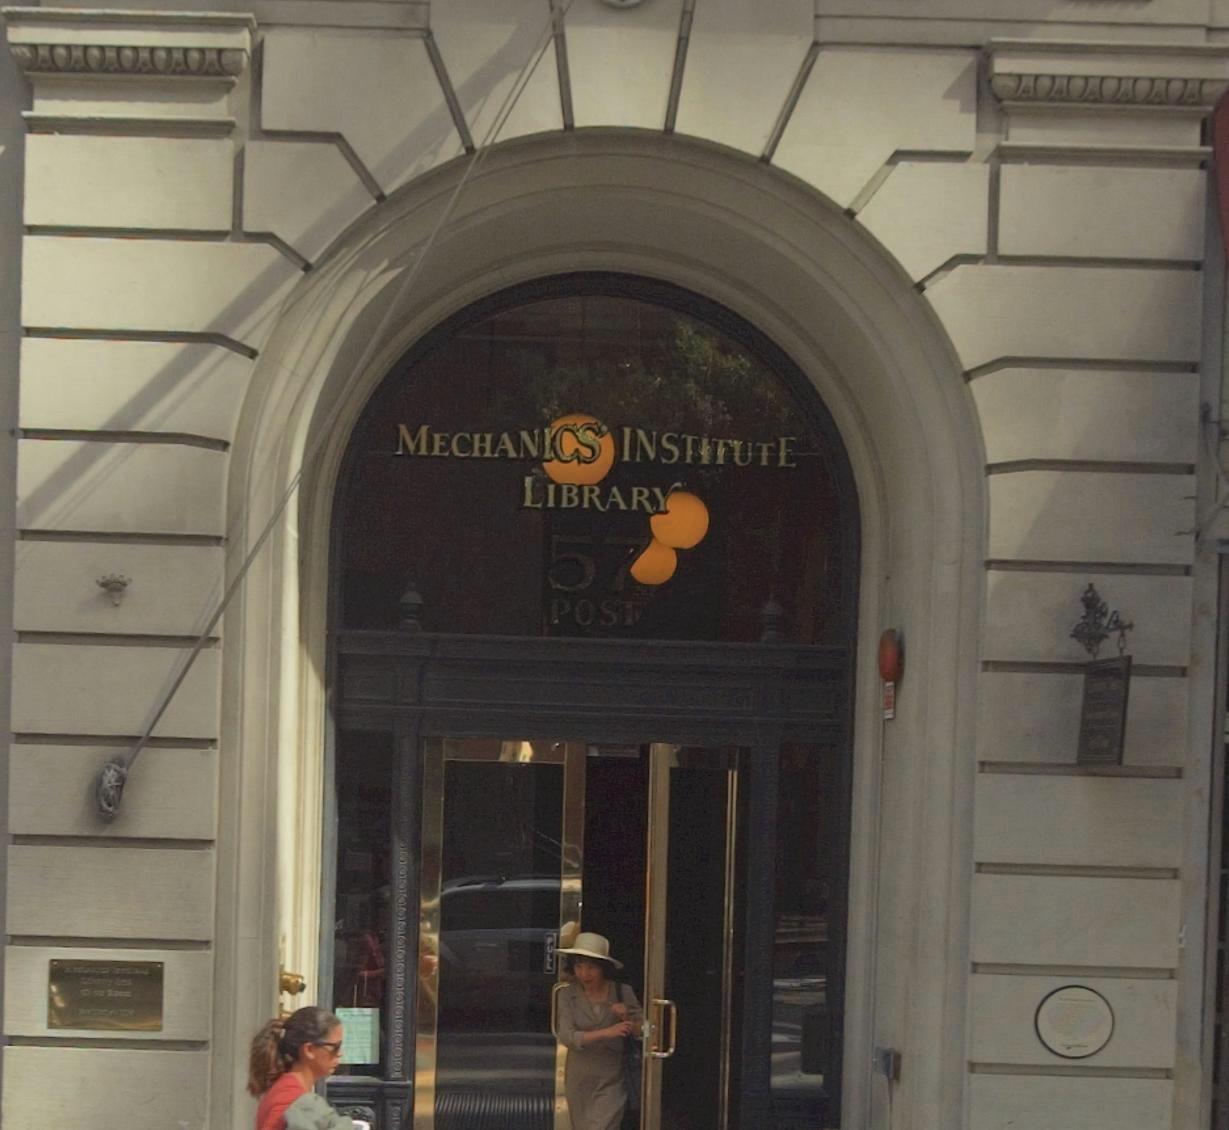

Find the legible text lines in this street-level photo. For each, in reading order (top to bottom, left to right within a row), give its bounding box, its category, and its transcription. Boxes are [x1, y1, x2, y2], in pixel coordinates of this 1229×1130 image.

[392, 420, 803, 470] BusinessName: MECHANICS' INSTITUTE
[518, 473, 688, 515] BusinessName: LIBRARY
[544, 531, 656, 593] StreetNumber: 57
[547, 597, 644, 628] StreetName: POST
[545, 935, 553, 971] None: PULL